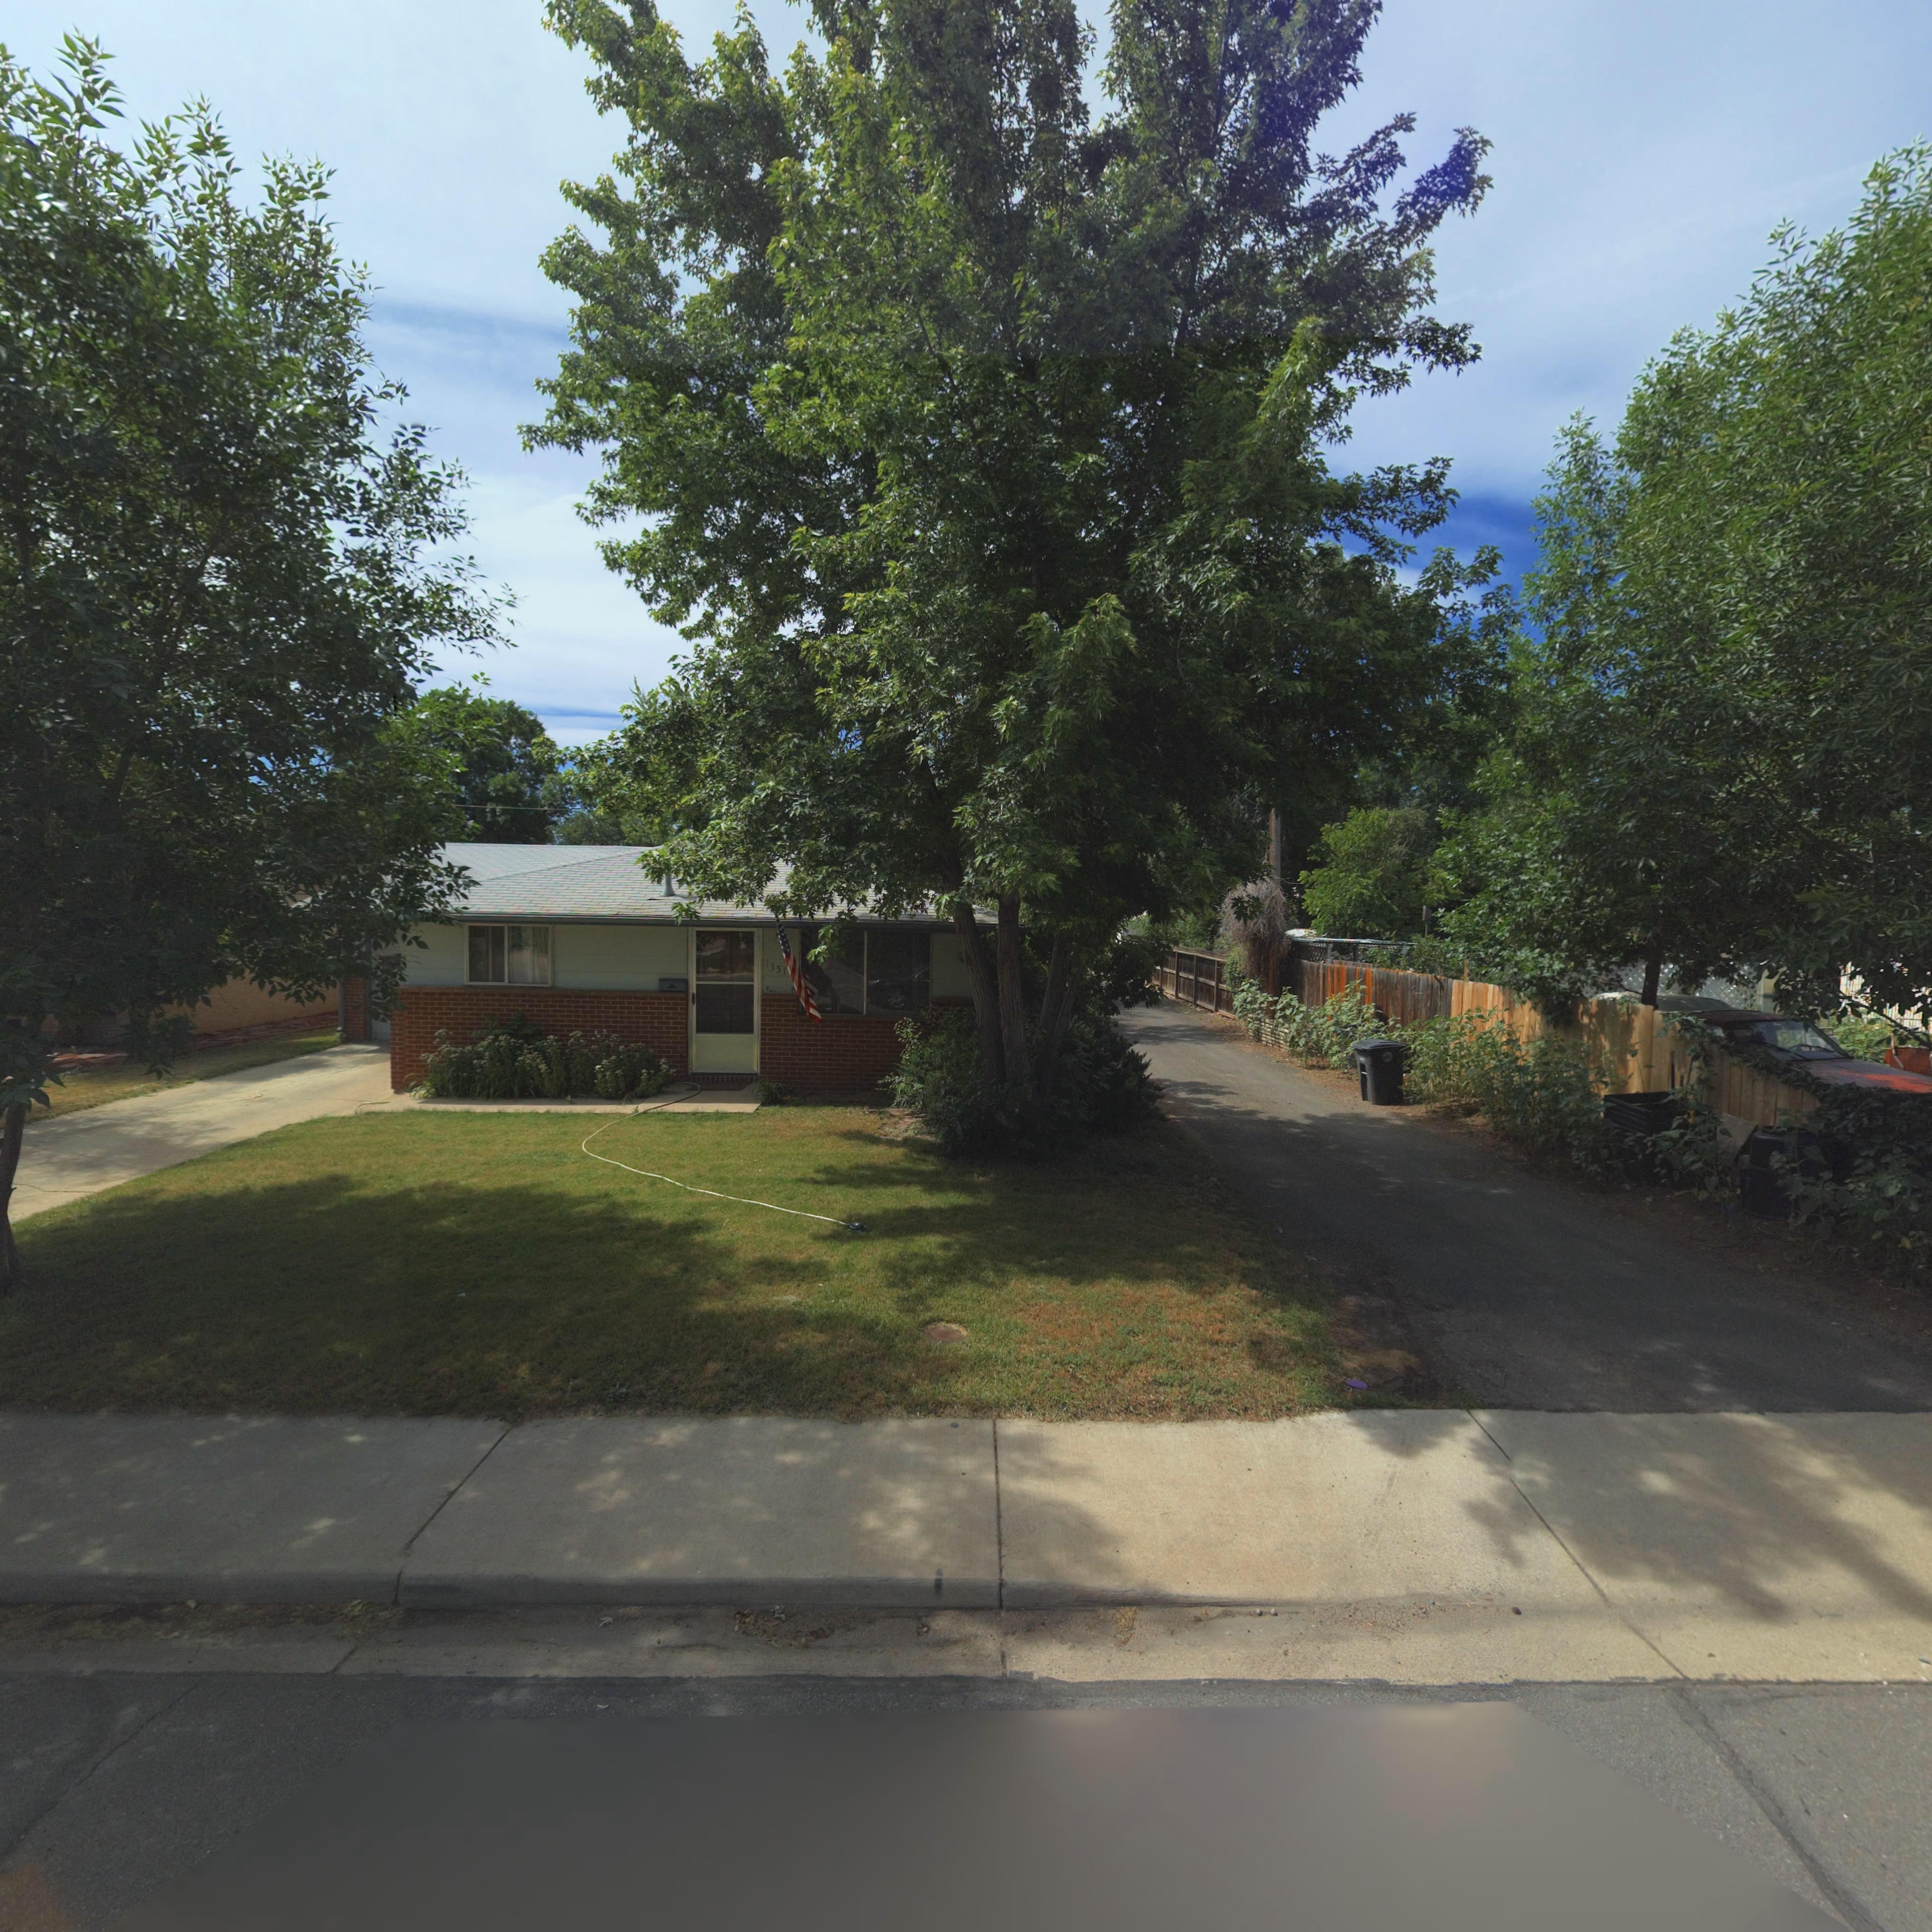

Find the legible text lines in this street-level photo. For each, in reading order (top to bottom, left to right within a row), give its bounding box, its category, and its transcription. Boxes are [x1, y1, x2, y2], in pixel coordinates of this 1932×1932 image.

[766, 959, 786, 975] StreetNumber: 1351